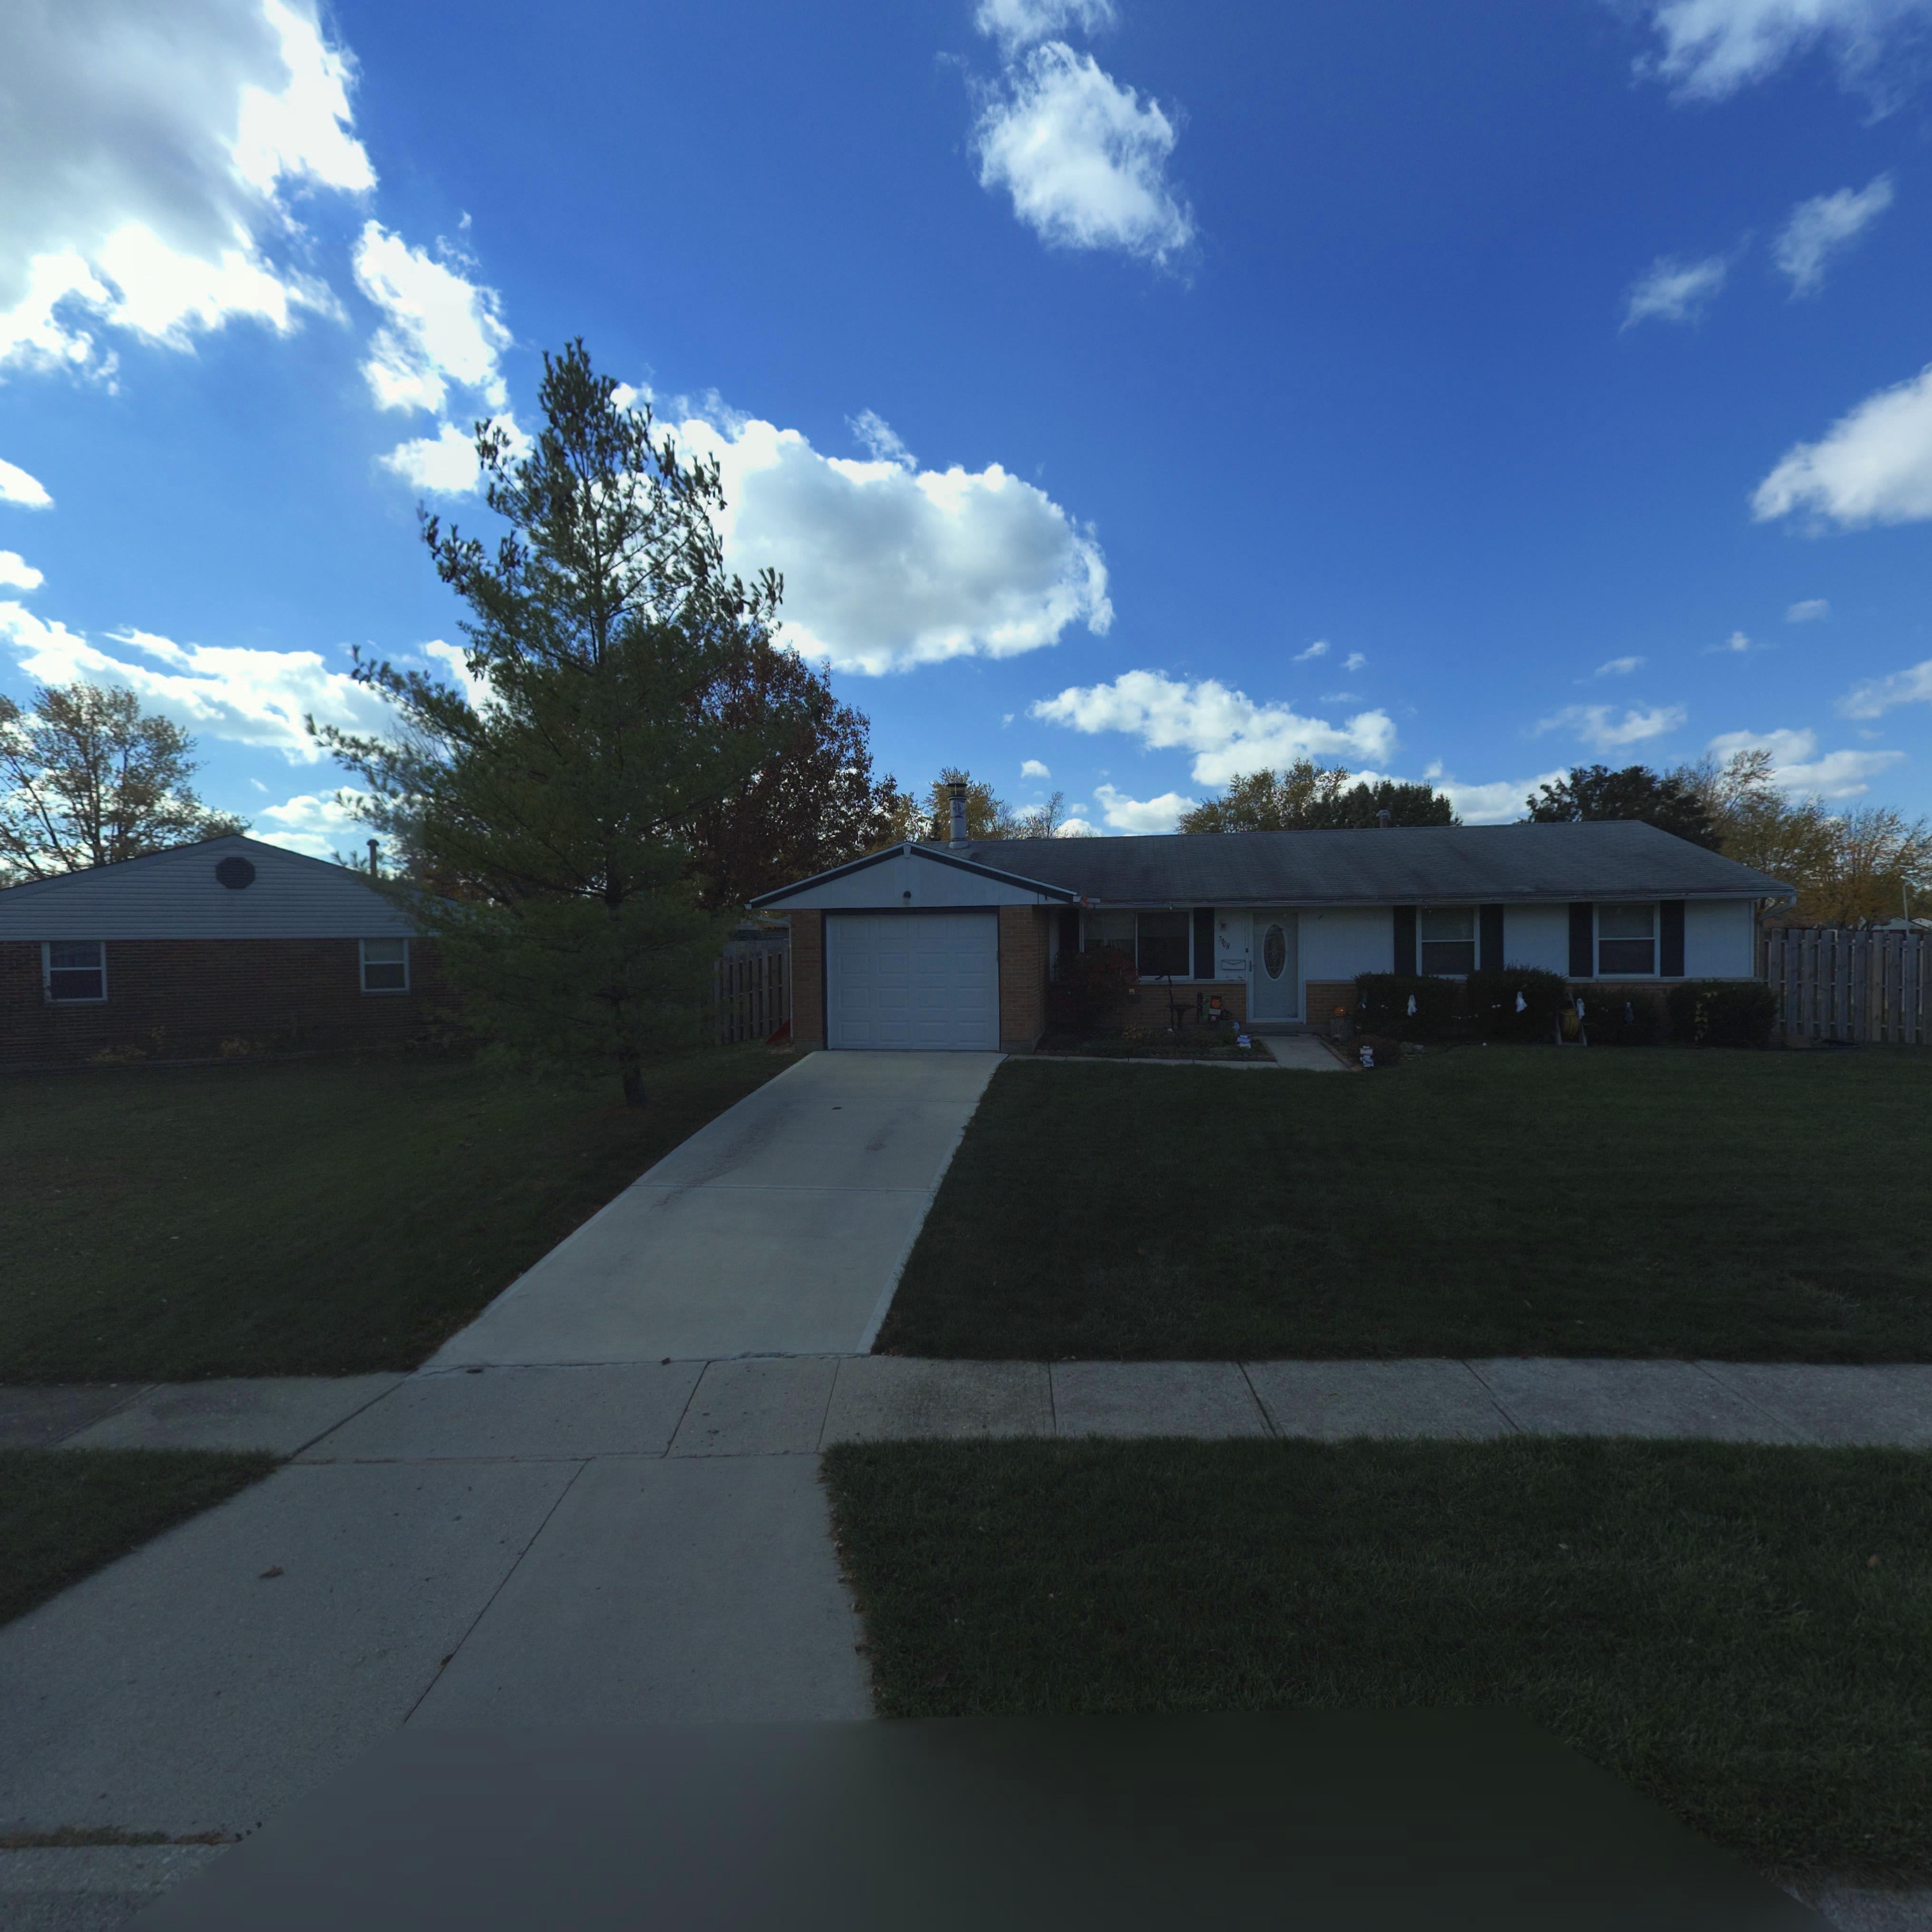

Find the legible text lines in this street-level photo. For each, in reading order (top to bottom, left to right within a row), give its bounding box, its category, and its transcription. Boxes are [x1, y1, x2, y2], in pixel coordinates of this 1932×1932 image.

[1217, 935, 1231, 950] StreetNumber: 7908